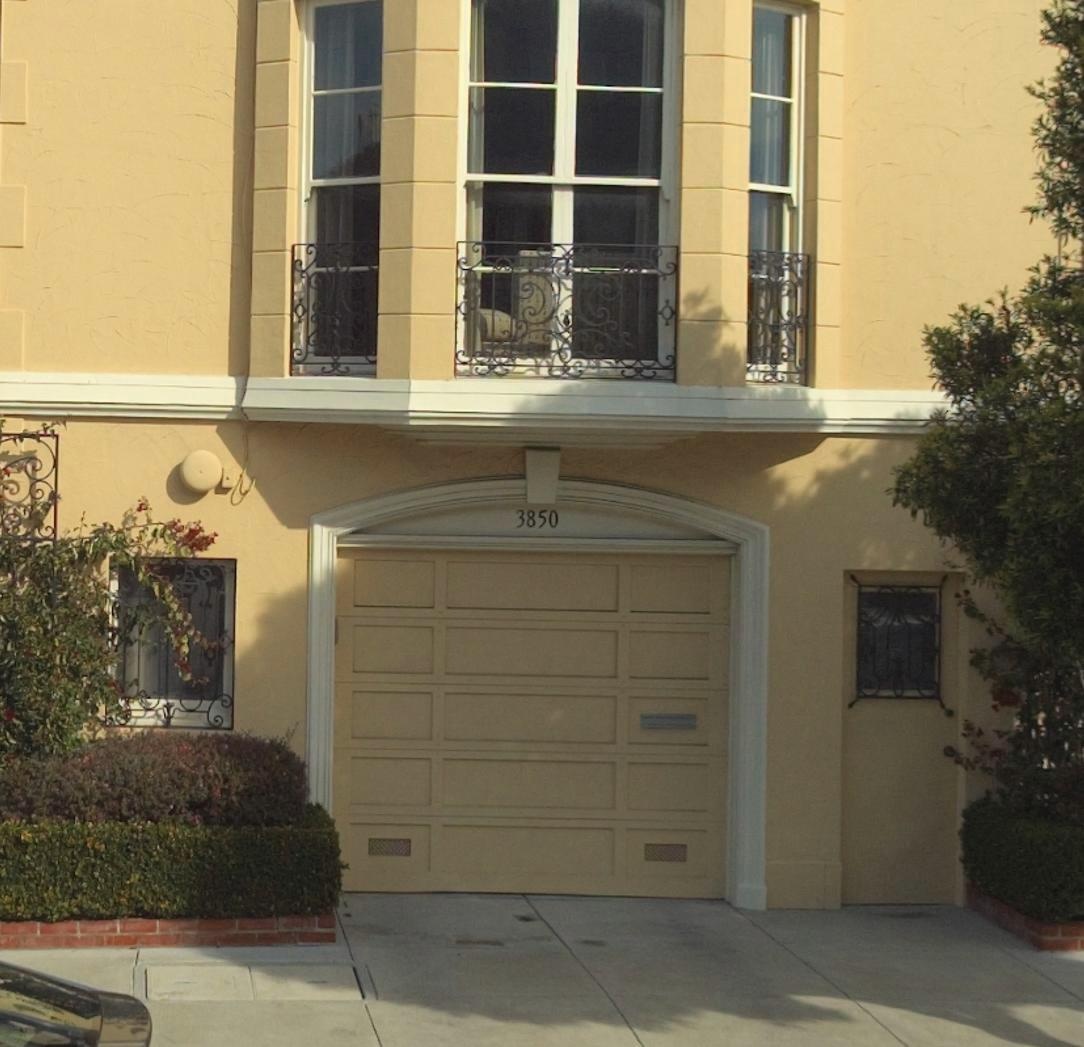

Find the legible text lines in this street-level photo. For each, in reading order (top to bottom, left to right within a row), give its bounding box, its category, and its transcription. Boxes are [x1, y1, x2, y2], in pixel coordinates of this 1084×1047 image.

[513, 507, 561, 531] StreetNumber: 3850